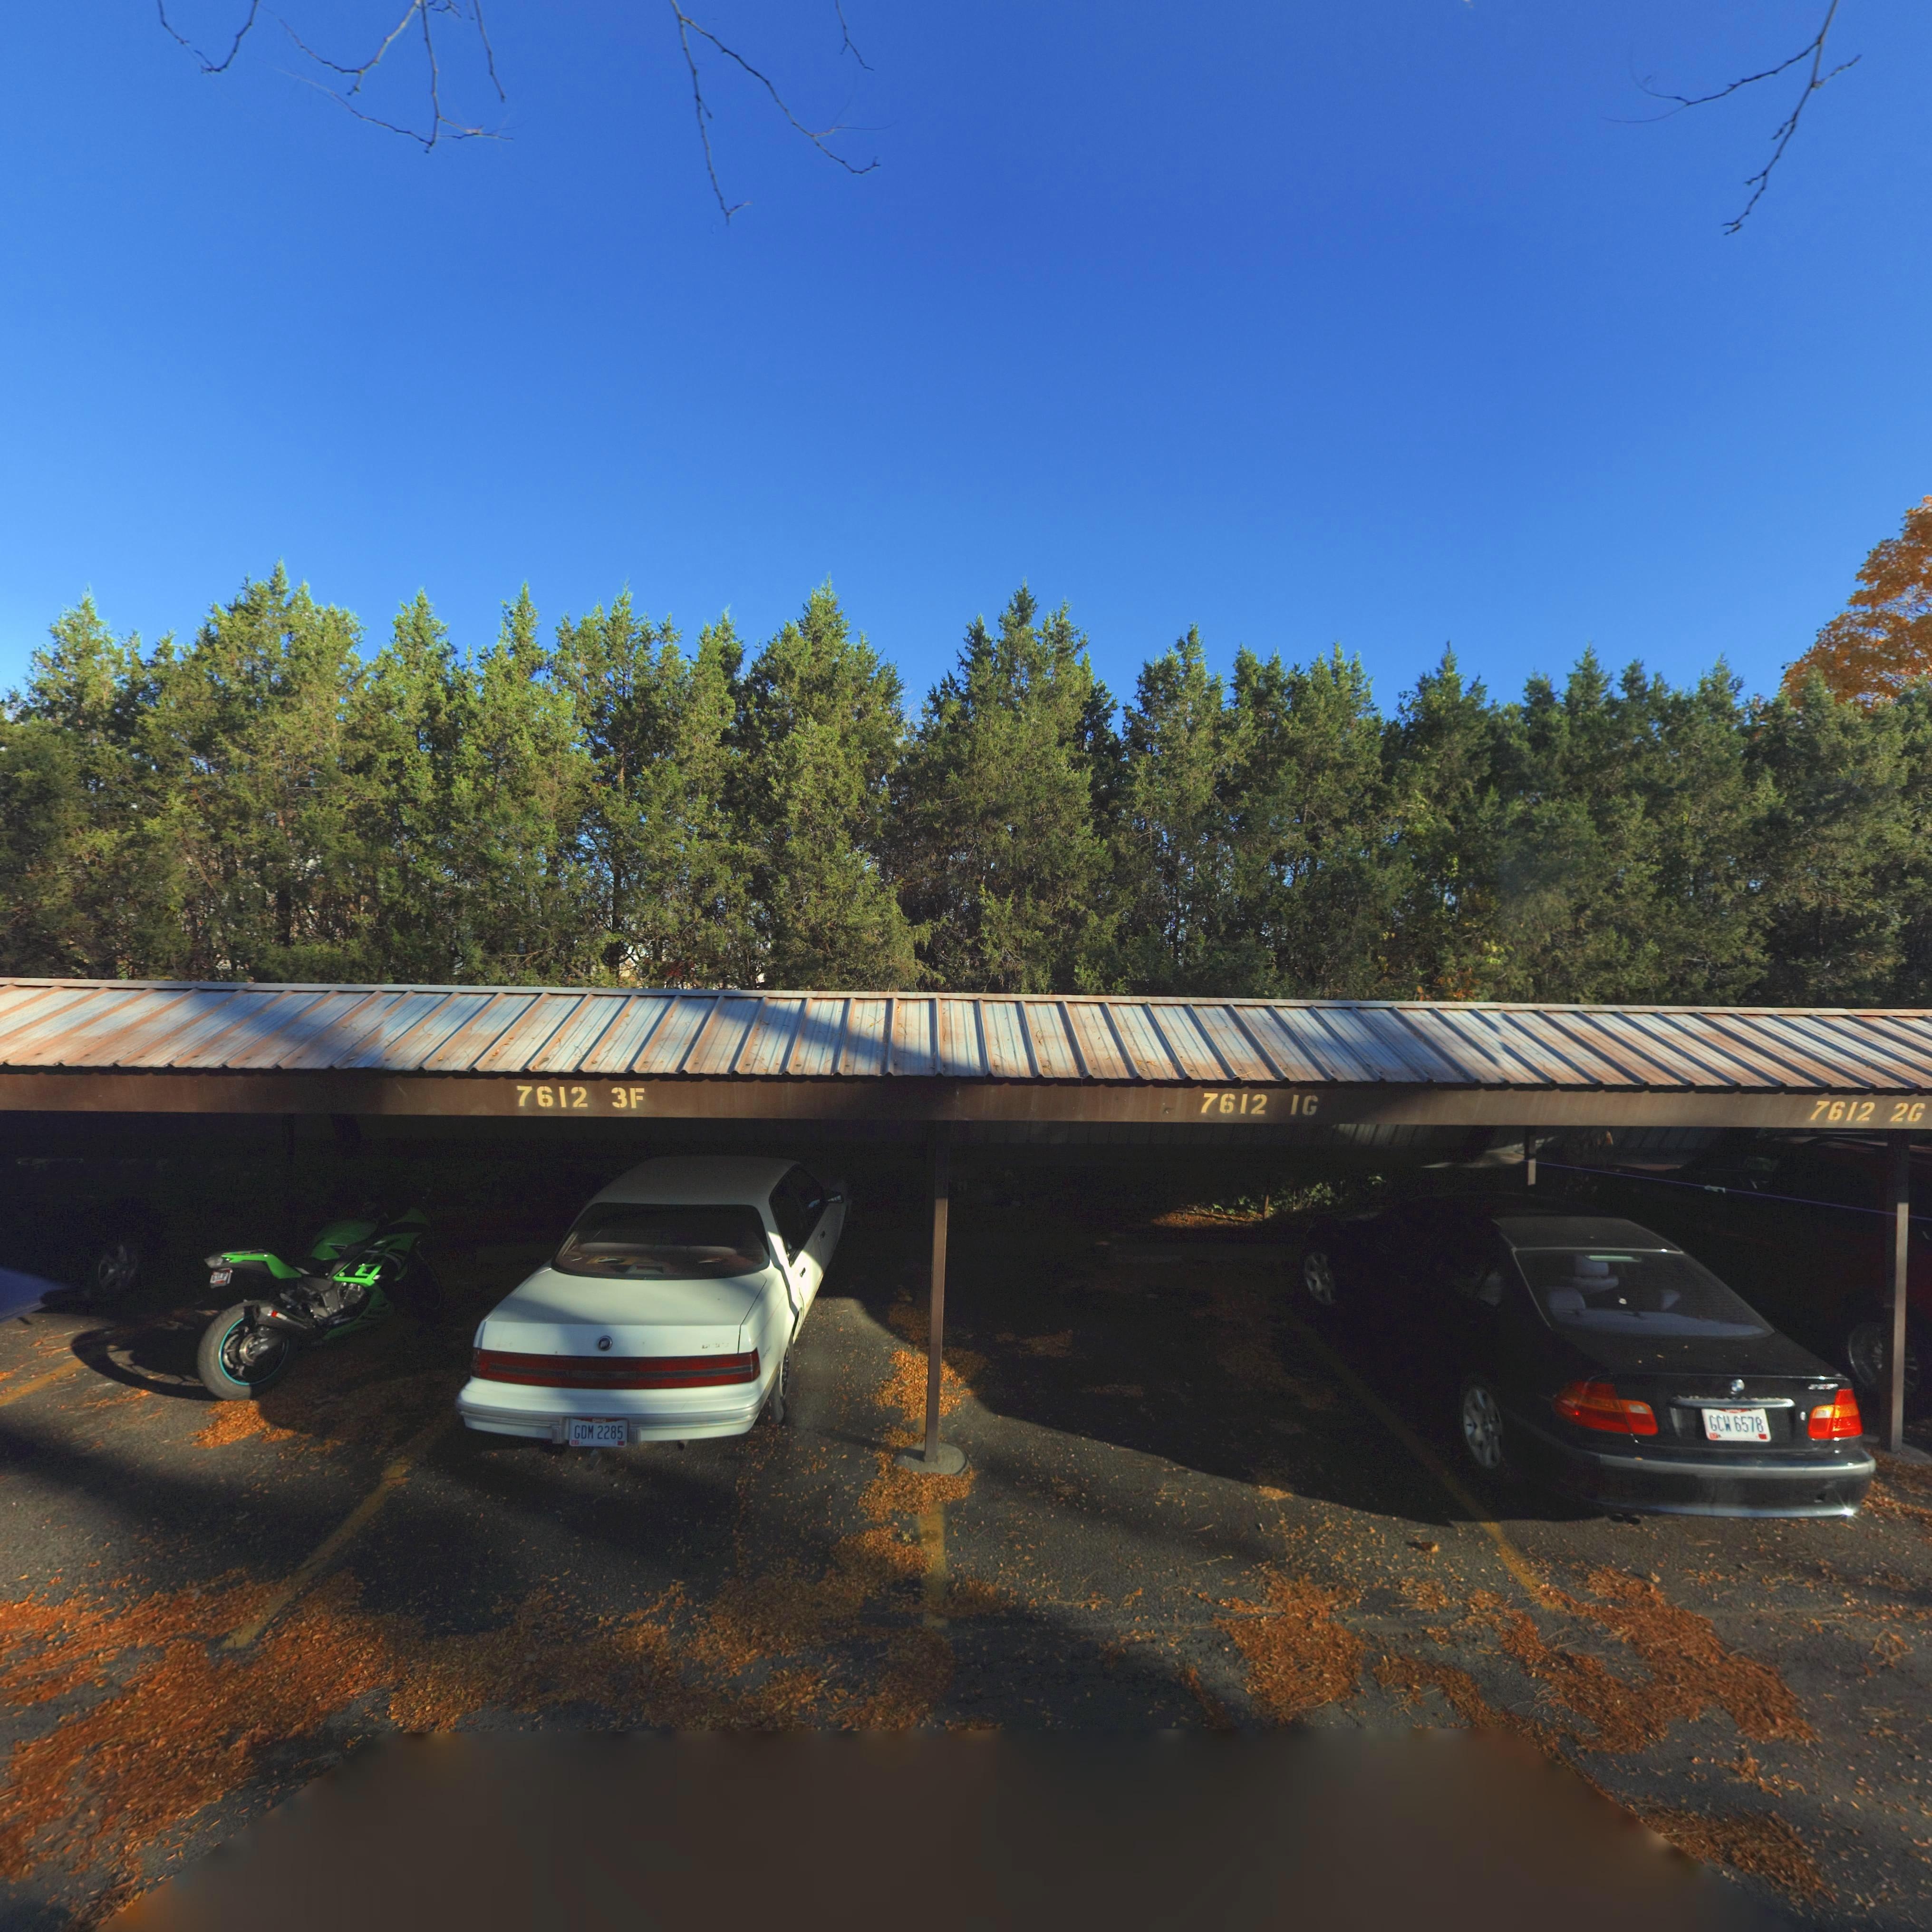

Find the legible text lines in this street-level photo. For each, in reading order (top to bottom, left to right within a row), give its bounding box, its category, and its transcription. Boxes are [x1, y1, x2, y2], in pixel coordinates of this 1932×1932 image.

[516, 1085, 589, 1108] StreetNumber: 7612
[1200, 1092, 1268, 1115] StreetNumber: 7612
[1808, 1099, 1877, 1123] StreetNumber: 7612